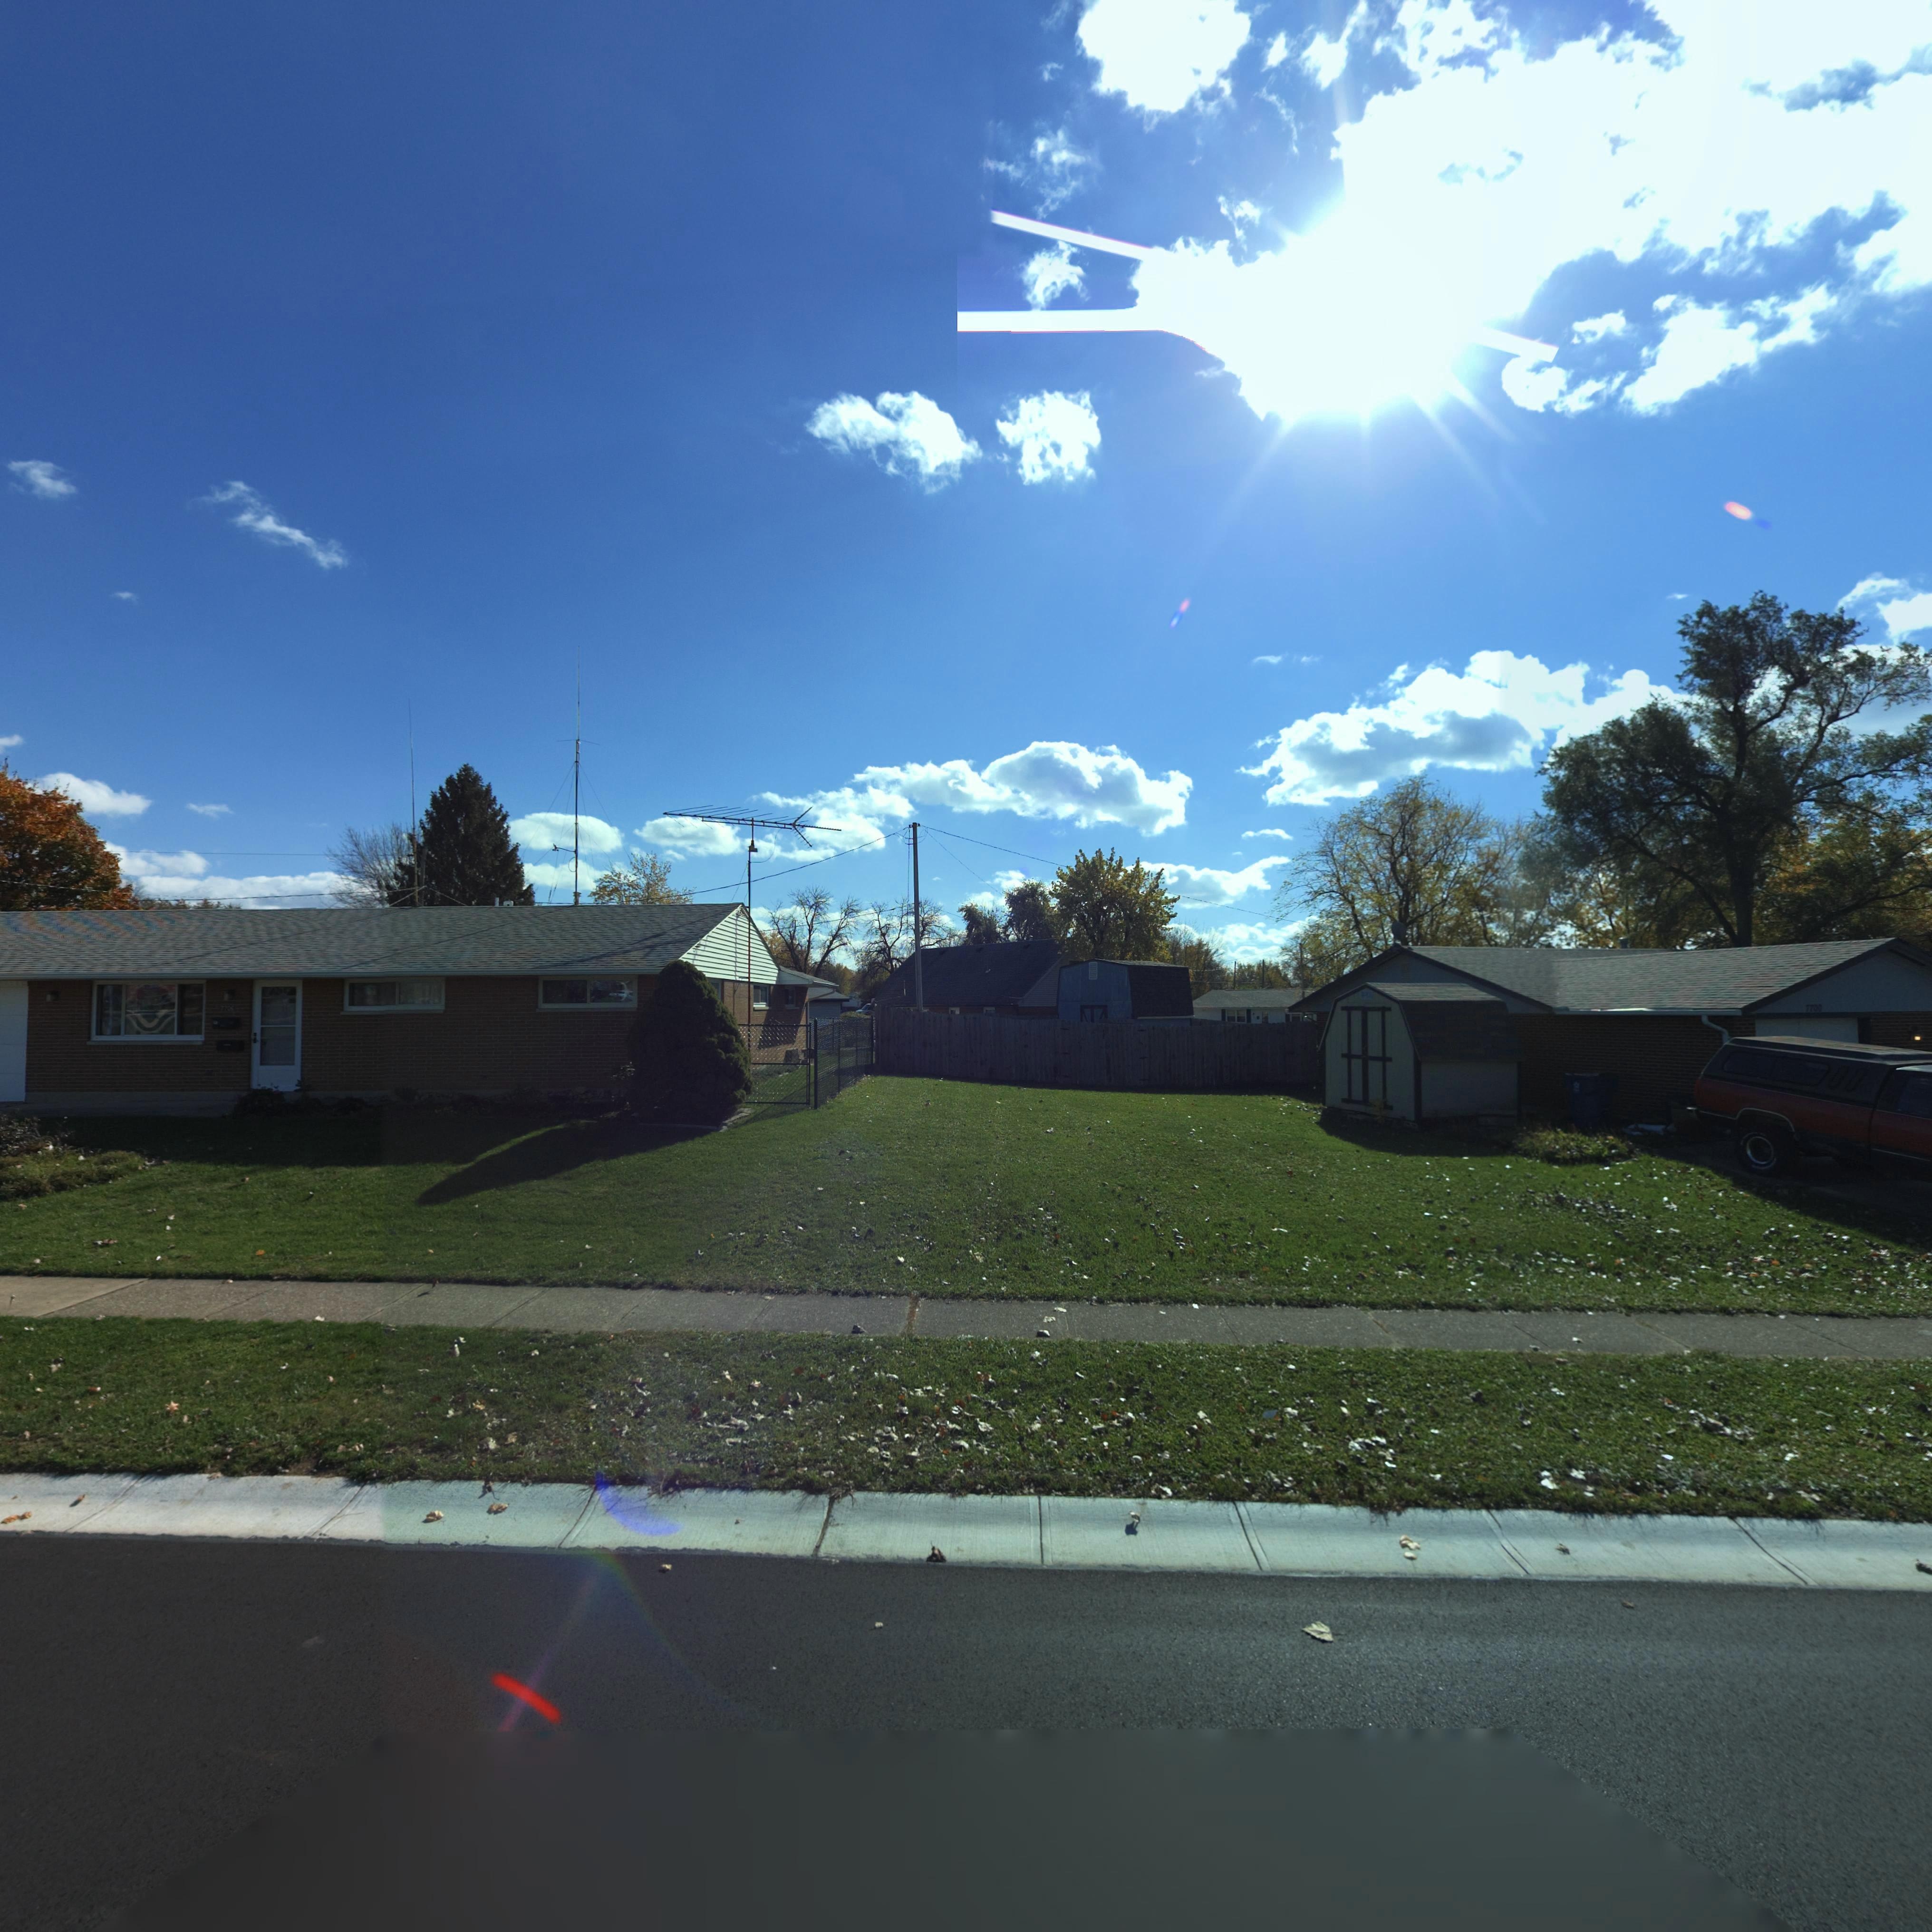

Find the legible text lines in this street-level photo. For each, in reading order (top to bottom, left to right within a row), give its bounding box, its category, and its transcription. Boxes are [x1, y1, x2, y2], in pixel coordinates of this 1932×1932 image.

[220, 1005, 234, 1012] StreetNumber: 7705
[1805, 1004, 1823, 1013] StreetNumber: 7700